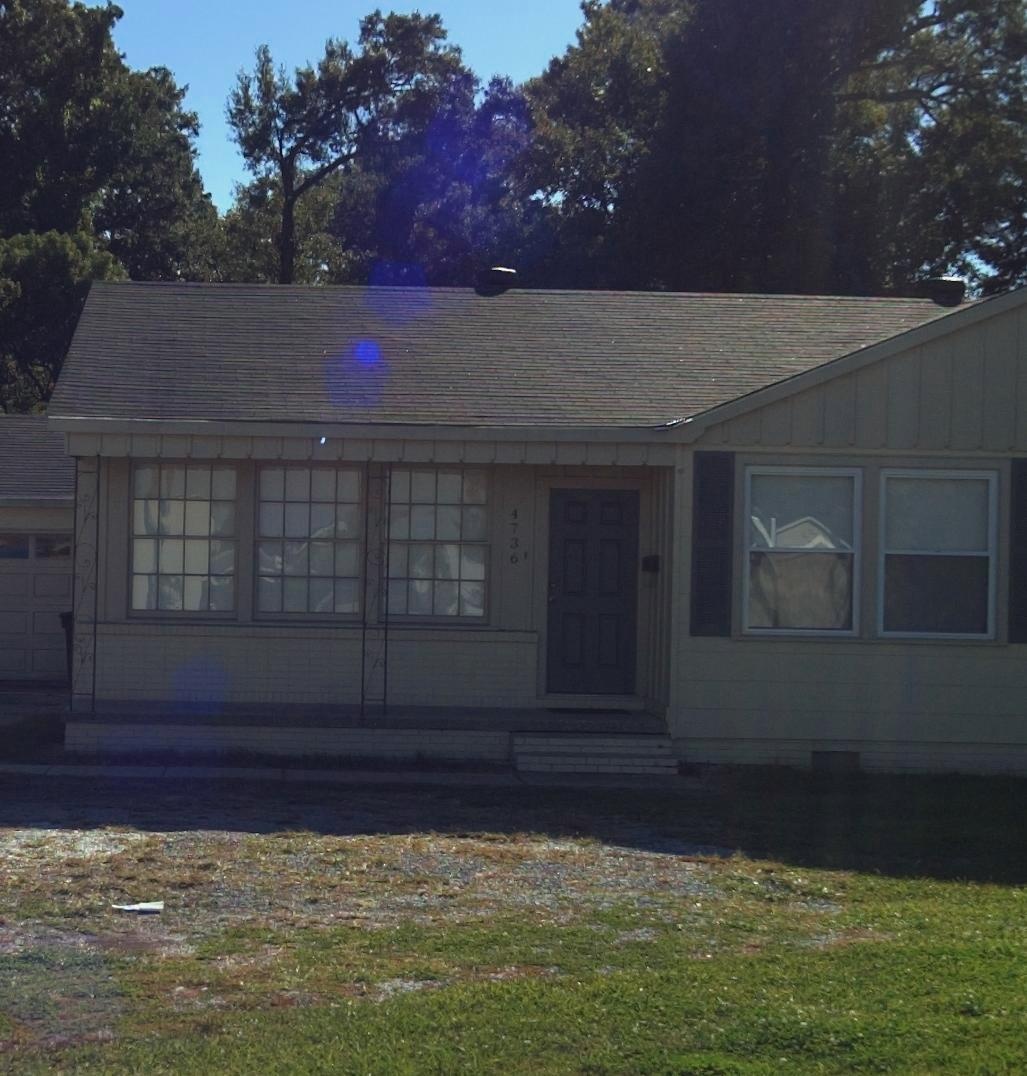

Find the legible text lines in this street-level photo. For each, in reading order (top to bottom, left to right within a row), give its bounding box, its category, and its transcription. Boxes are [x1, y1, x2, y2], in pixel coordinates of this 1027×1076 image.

[507, 506, 522, 567] StreetNumber: 4736